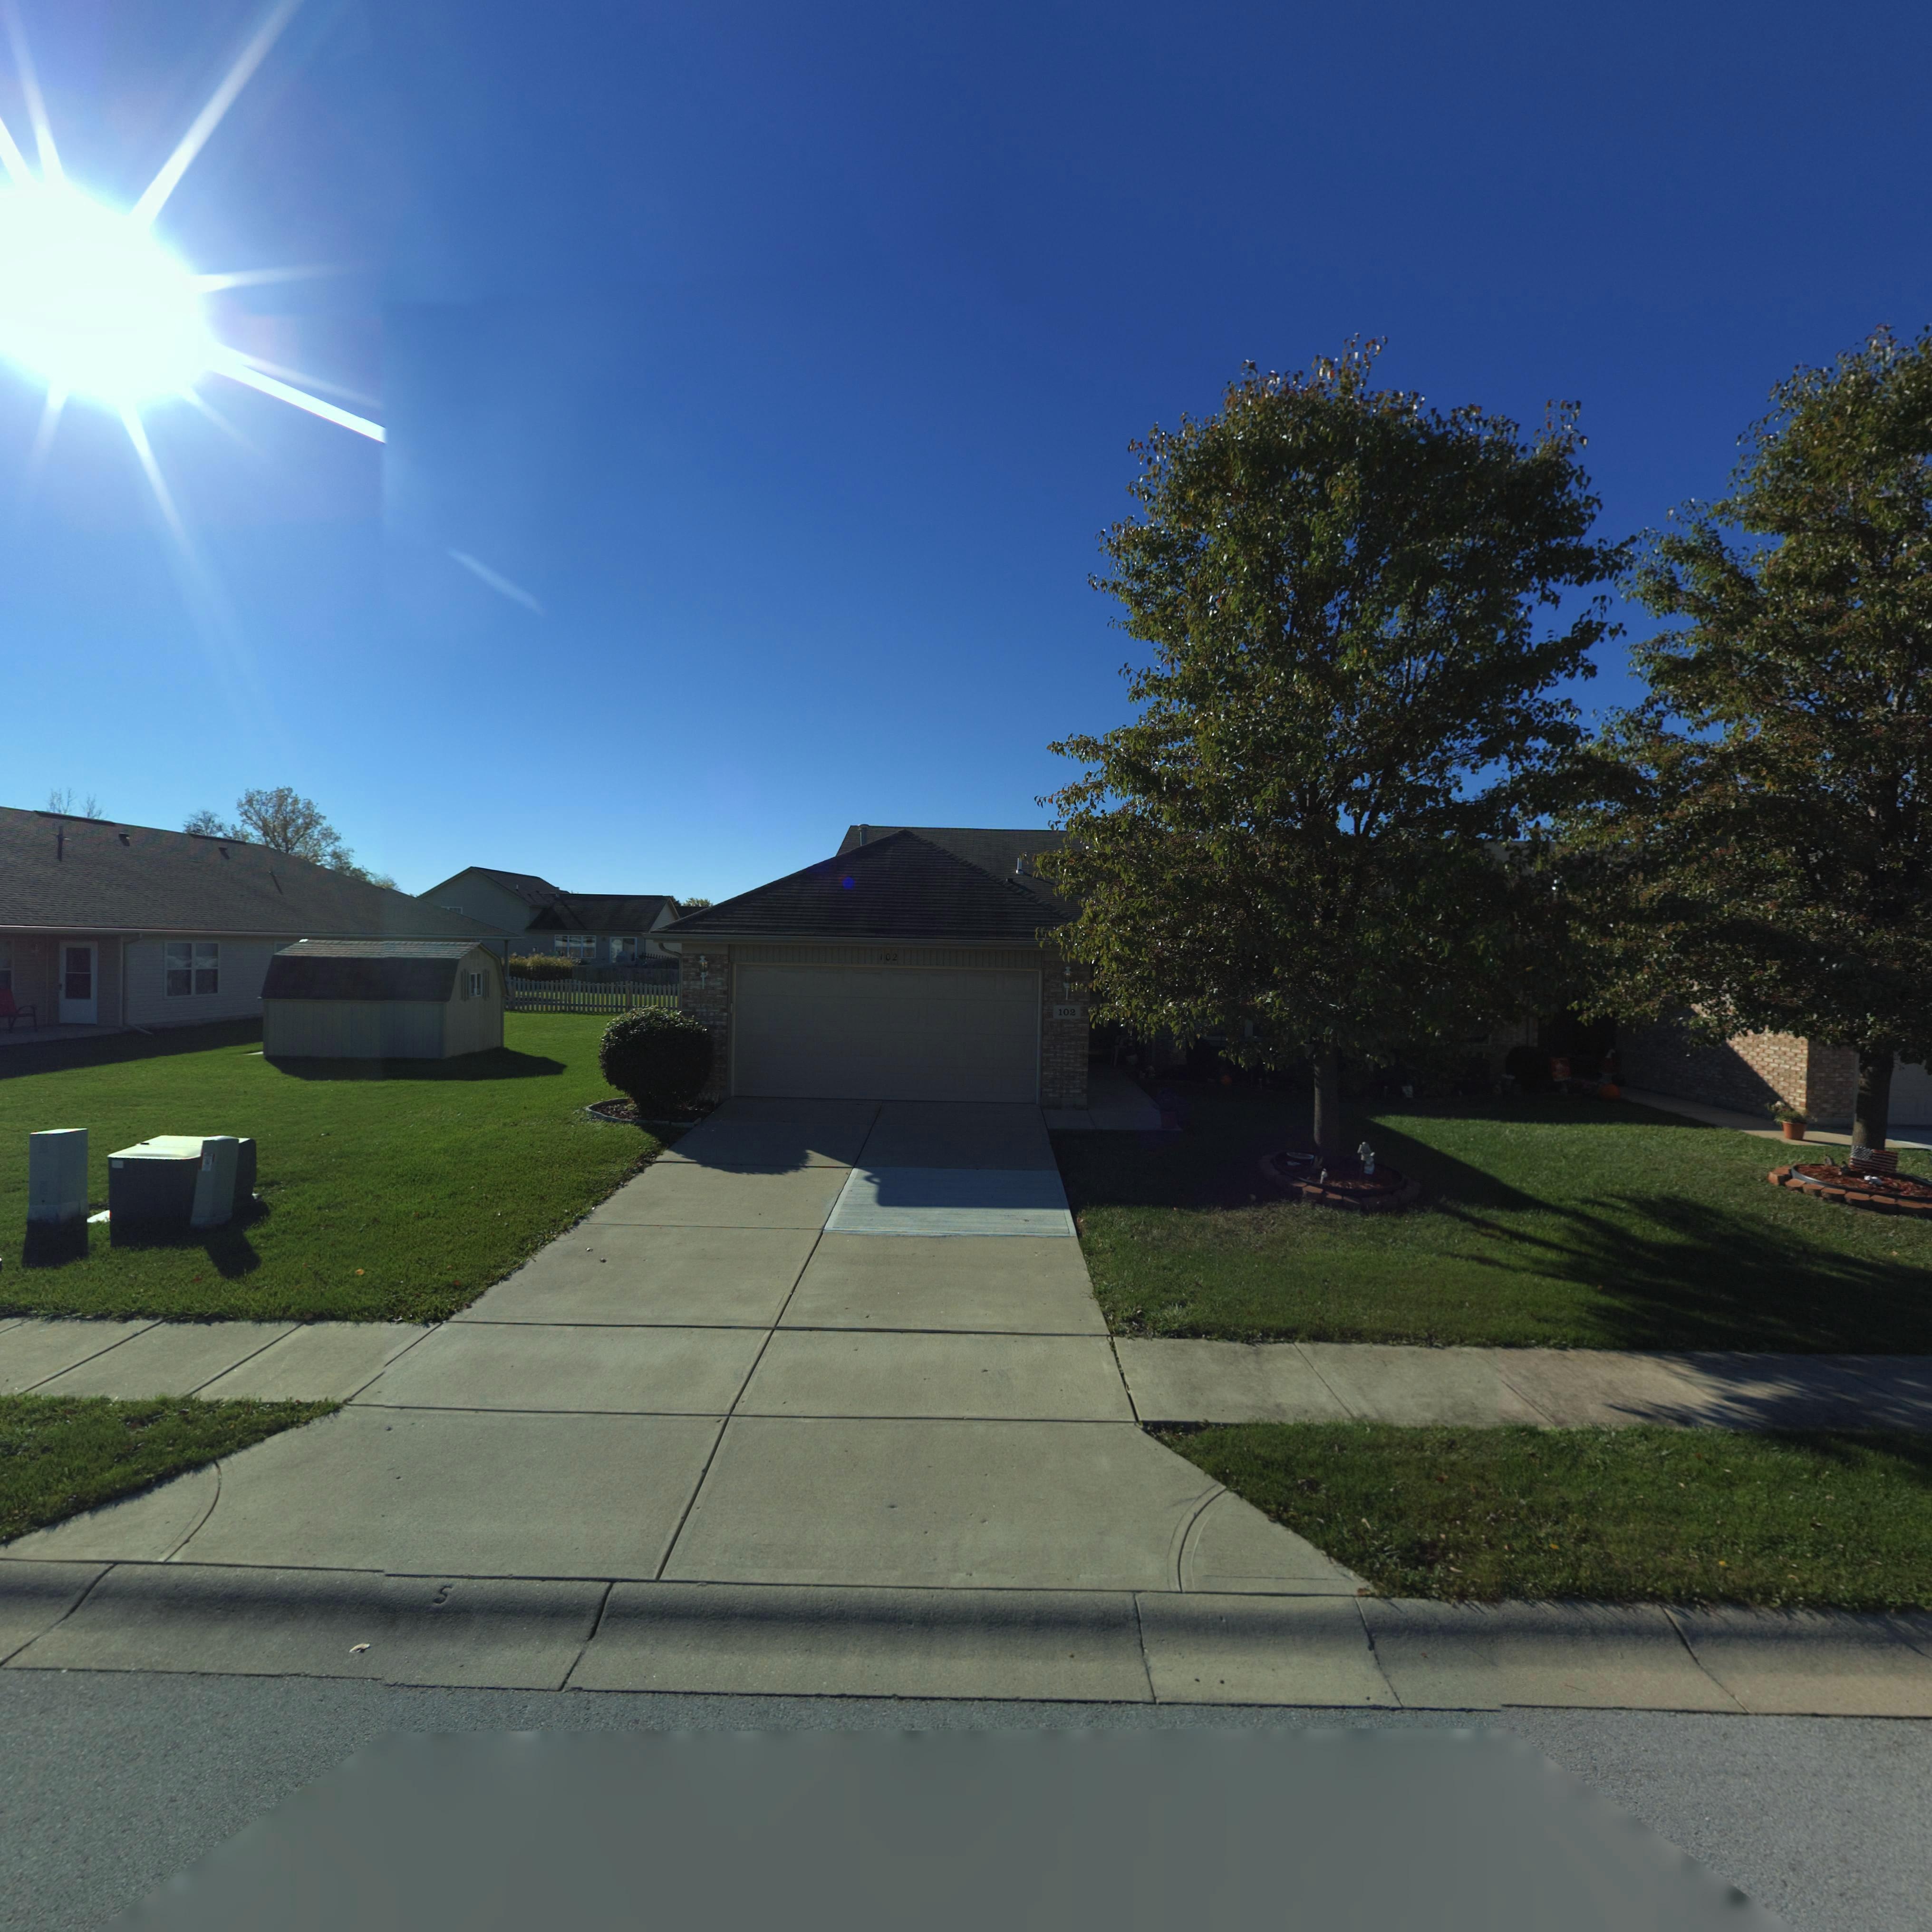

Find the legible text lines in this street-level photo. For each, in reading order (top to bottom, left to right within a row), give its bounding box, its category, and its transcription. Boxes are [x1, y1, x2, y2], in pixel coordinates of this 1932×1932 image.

[879, 952, 898, 962] StreetNumber: 102
[1058, 1007, 1076, 1017] StreetNumber: 102